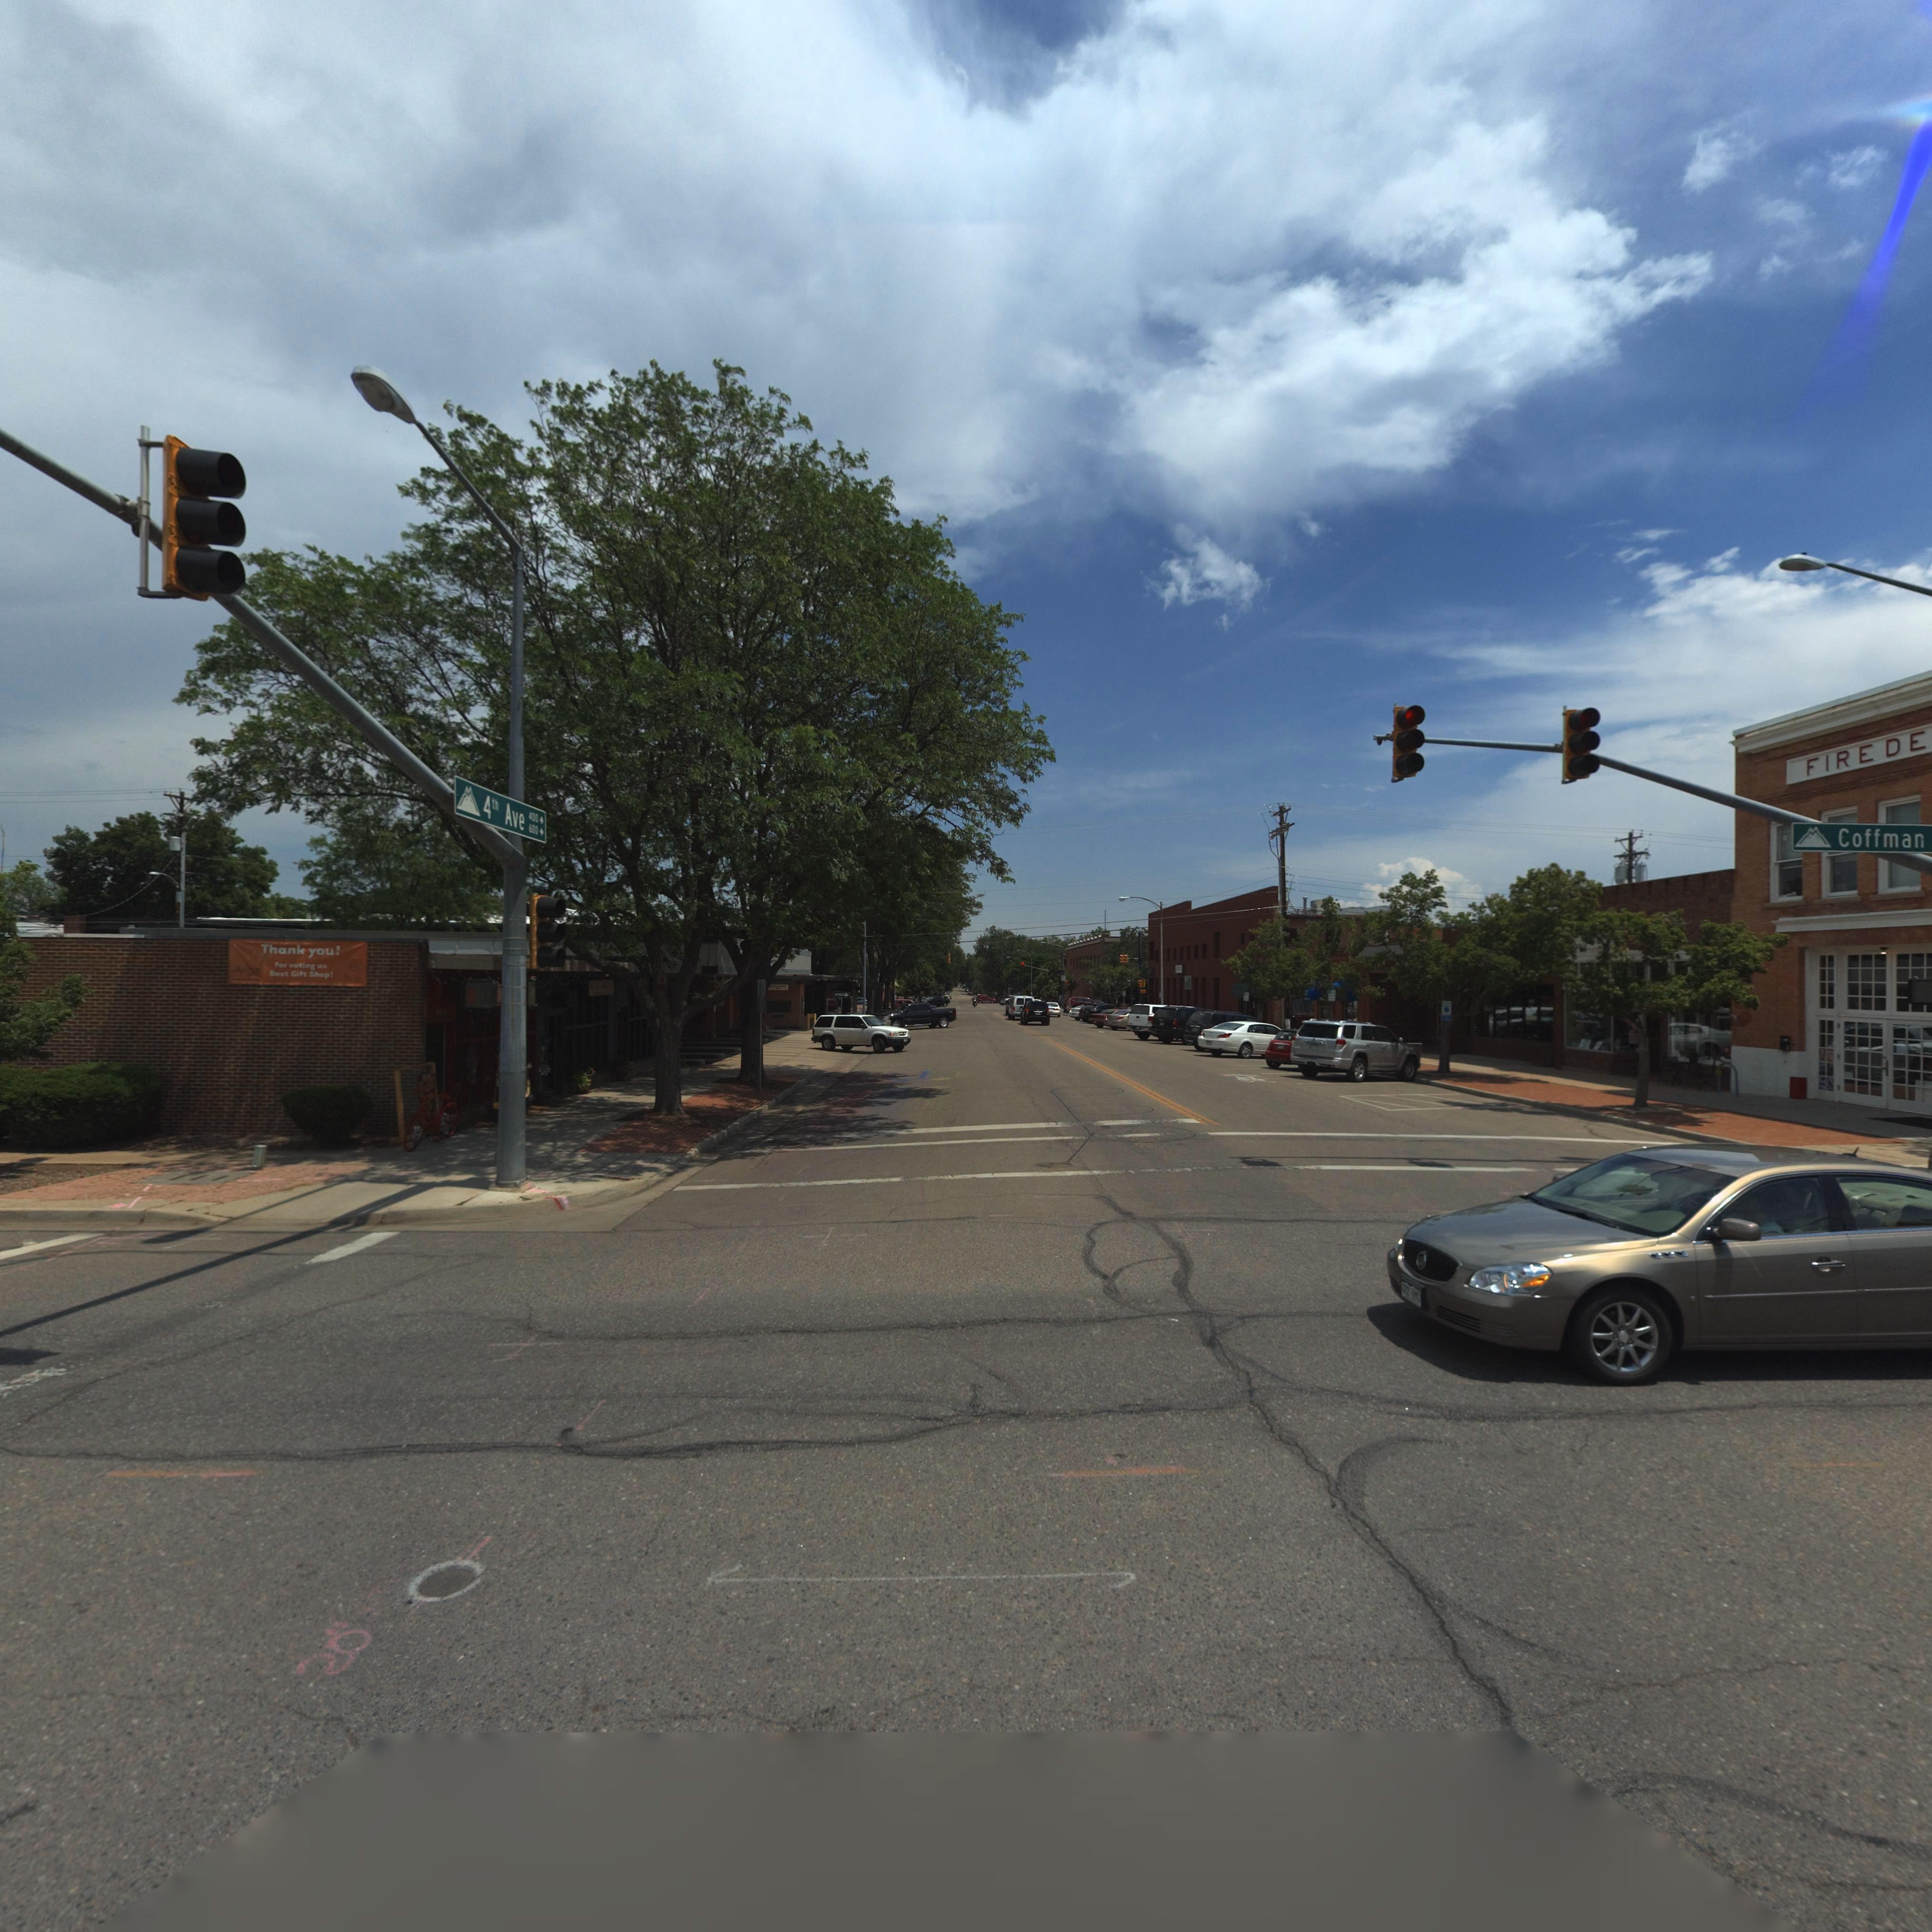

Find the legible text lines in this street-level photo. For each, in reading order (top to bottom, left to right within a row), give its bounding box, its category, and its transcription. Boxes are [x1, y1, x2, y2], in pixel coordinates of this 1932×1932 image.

[1806, 729, 1927, 777] BusinessName: FIRE DE
[482, 794, 526, 831] StreetName: 4th Ave
[528, 811, 539, 823] StreetNumberRange: 400
[528, 823, 545, 836] StreetNumberRange: 600->
[1838, 828, 1924, 848] StreetName: Coffman
[233, 964, 261, 977] BusinessName: A****